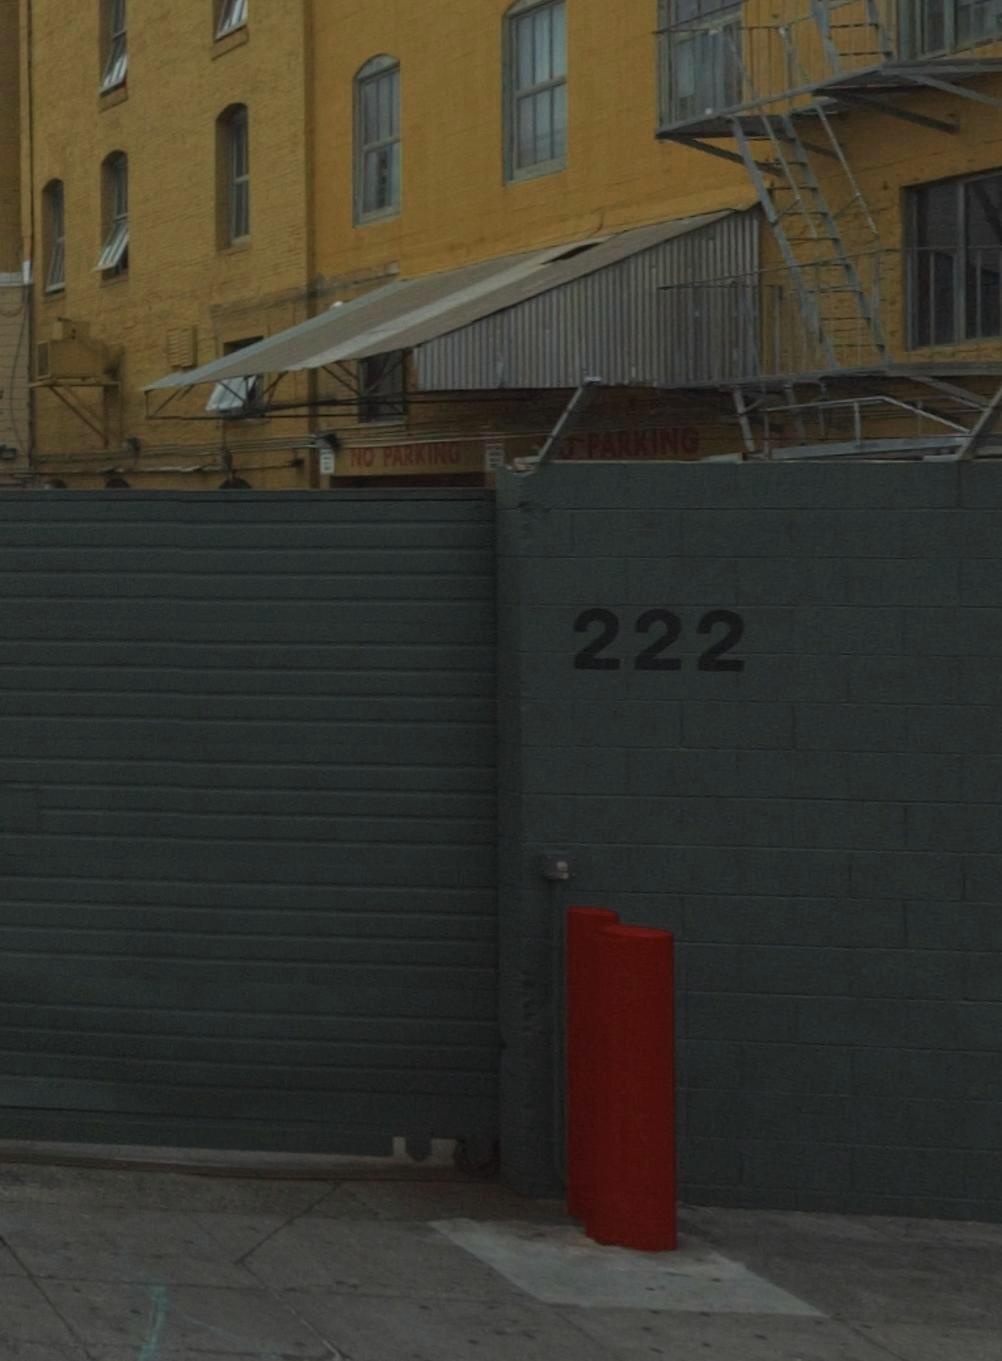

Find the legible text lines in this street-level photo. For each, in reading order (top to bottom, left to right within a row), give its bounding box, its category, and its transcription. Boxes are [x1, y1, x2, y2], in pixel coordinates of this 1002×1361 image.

[349, 441, 462, 469] None: NO PARKING
[586, 426, 701, 461] None: PARKING
[572, 604, 747, 675] StreetNumber: 222